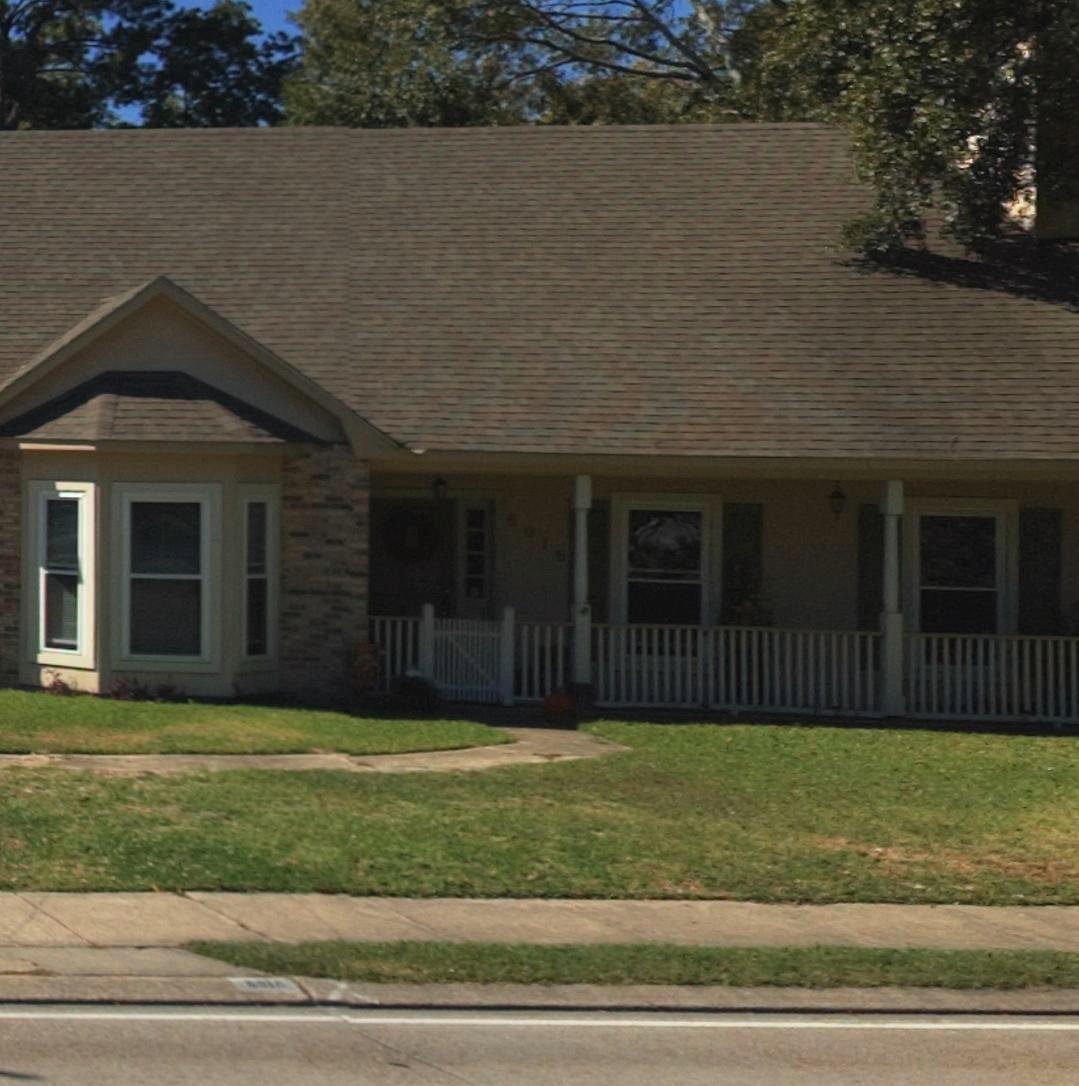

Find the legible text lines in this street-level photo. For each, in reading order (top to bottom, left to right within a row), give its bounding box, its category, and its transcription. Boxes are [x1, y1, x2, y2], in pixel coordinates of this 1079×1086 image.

[504, 510, 569, 565] StreetNumber: 6016